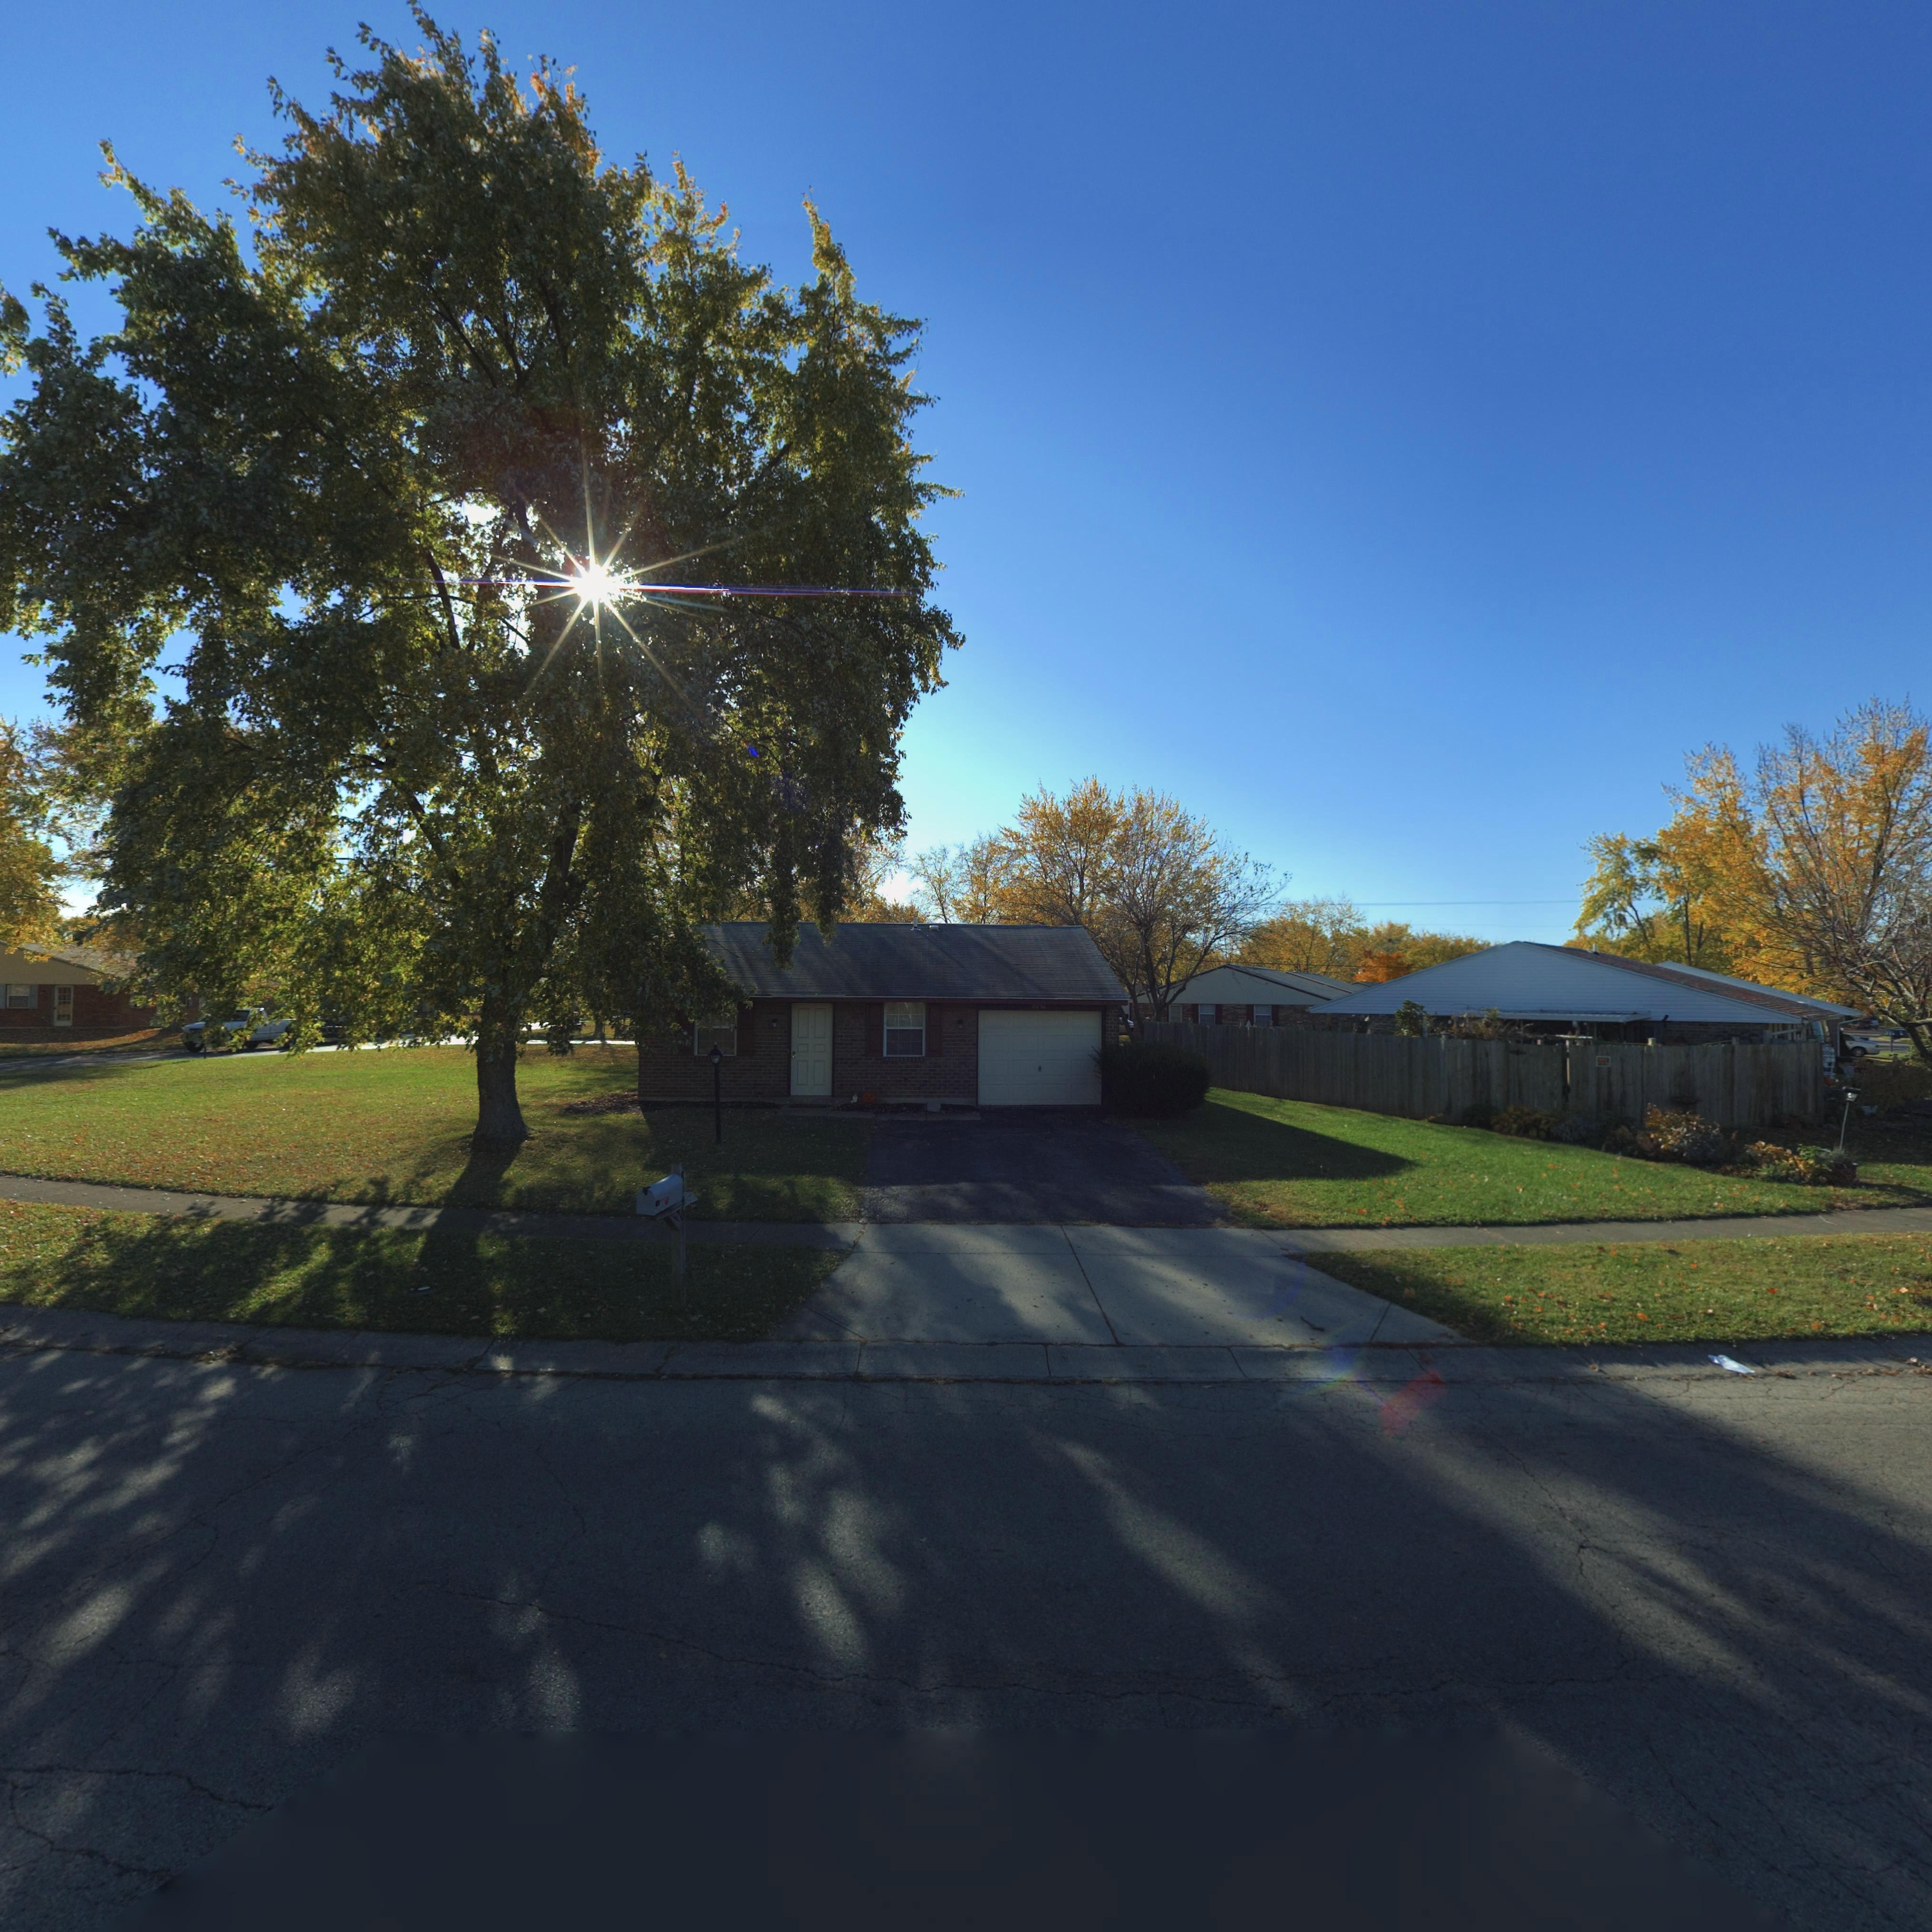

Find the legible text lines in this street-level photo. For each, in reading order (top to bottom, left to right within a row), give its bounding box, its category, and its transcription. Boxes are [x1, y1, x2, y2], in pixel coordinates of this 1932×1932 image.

[1031, 1004, 1047, 1010] StreetNumber: 80*0